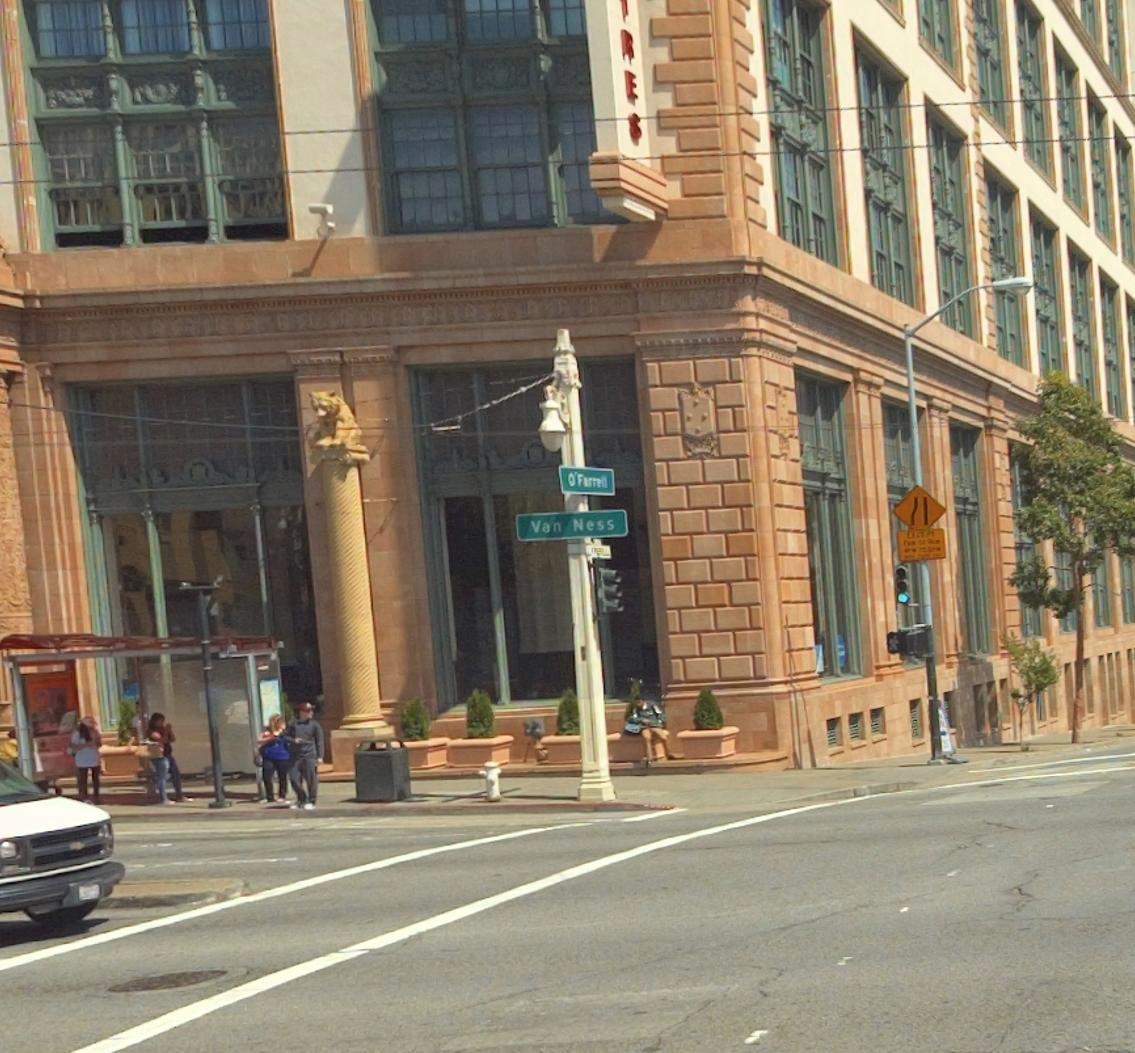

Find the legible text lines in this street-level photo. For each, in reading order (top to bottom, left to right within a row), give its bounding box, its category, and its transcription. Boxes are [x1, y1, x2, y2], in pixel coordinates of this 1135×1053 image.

[618, 27, 643, 145] None: RES
[566, 470, 610, 491] StreetName: O'Farrell
[528, 517, 616, 535] StreetName: Van Ness